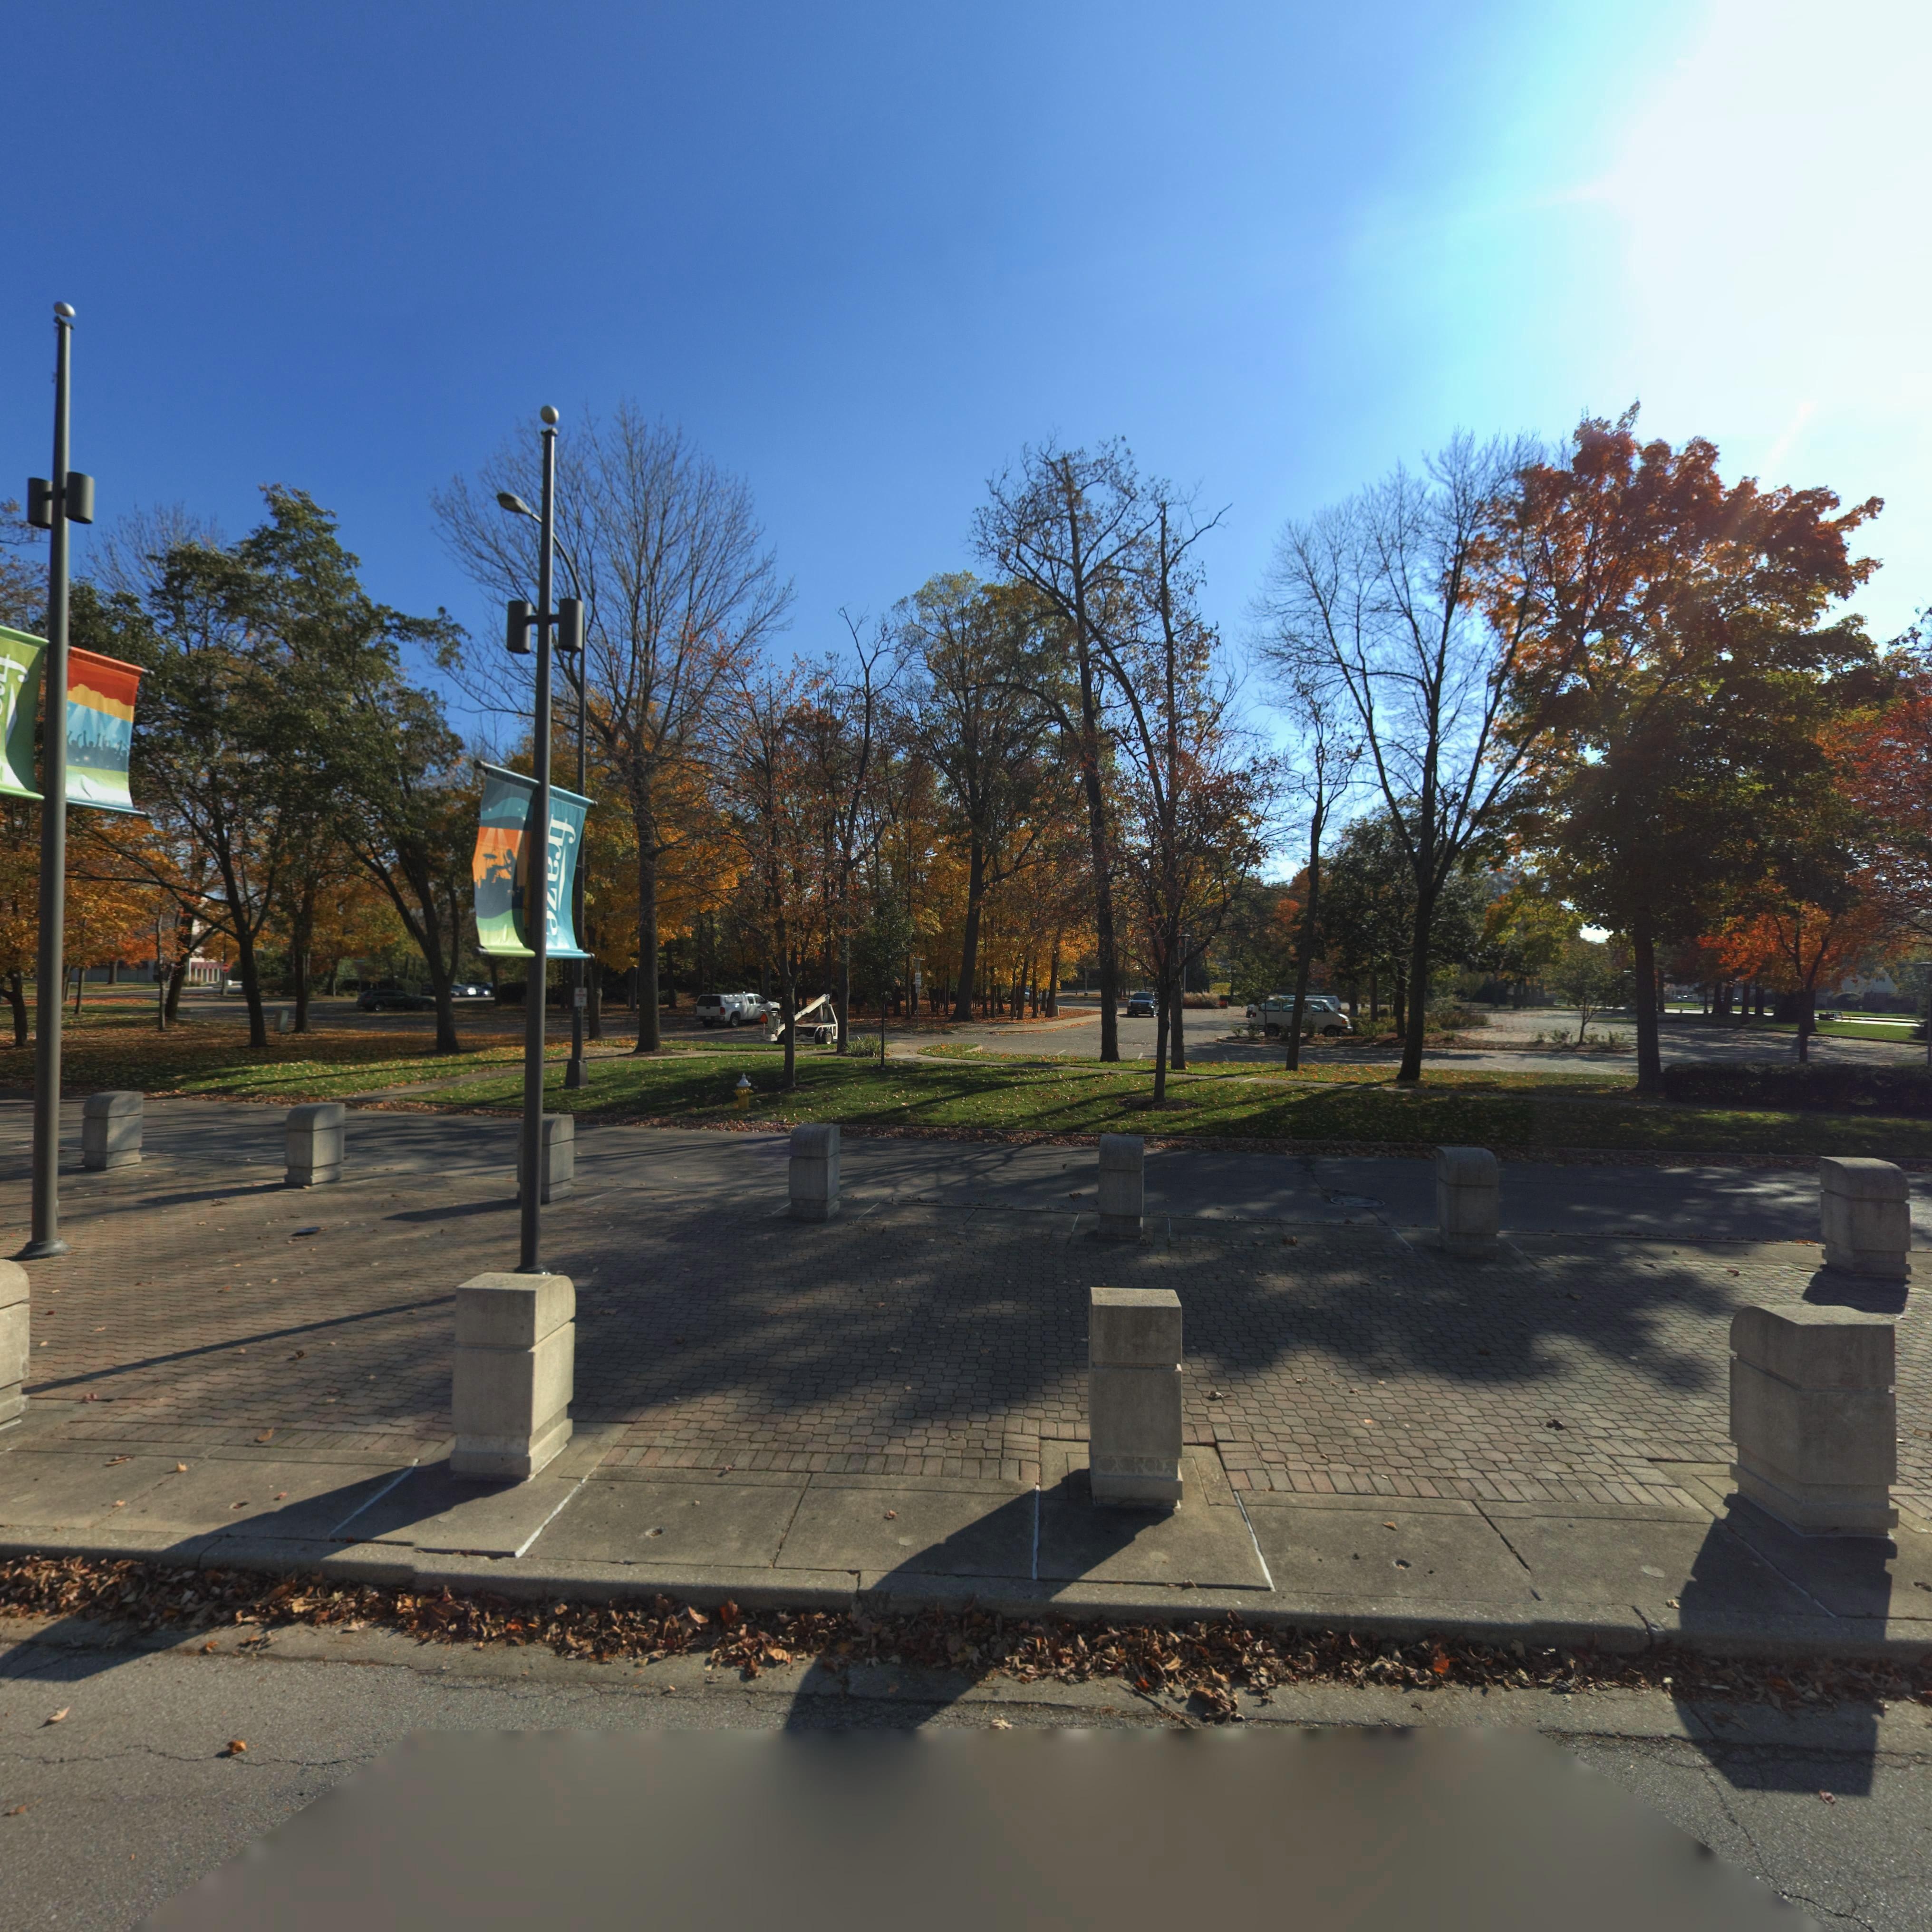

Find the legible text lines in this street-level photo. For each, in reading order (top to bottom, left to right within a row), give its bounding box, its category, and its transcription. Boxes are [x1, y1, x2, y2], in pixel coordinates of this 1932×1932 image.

[579, 988, 584, 993] None: NO
[574, 993, 587, 997] None: PARKING